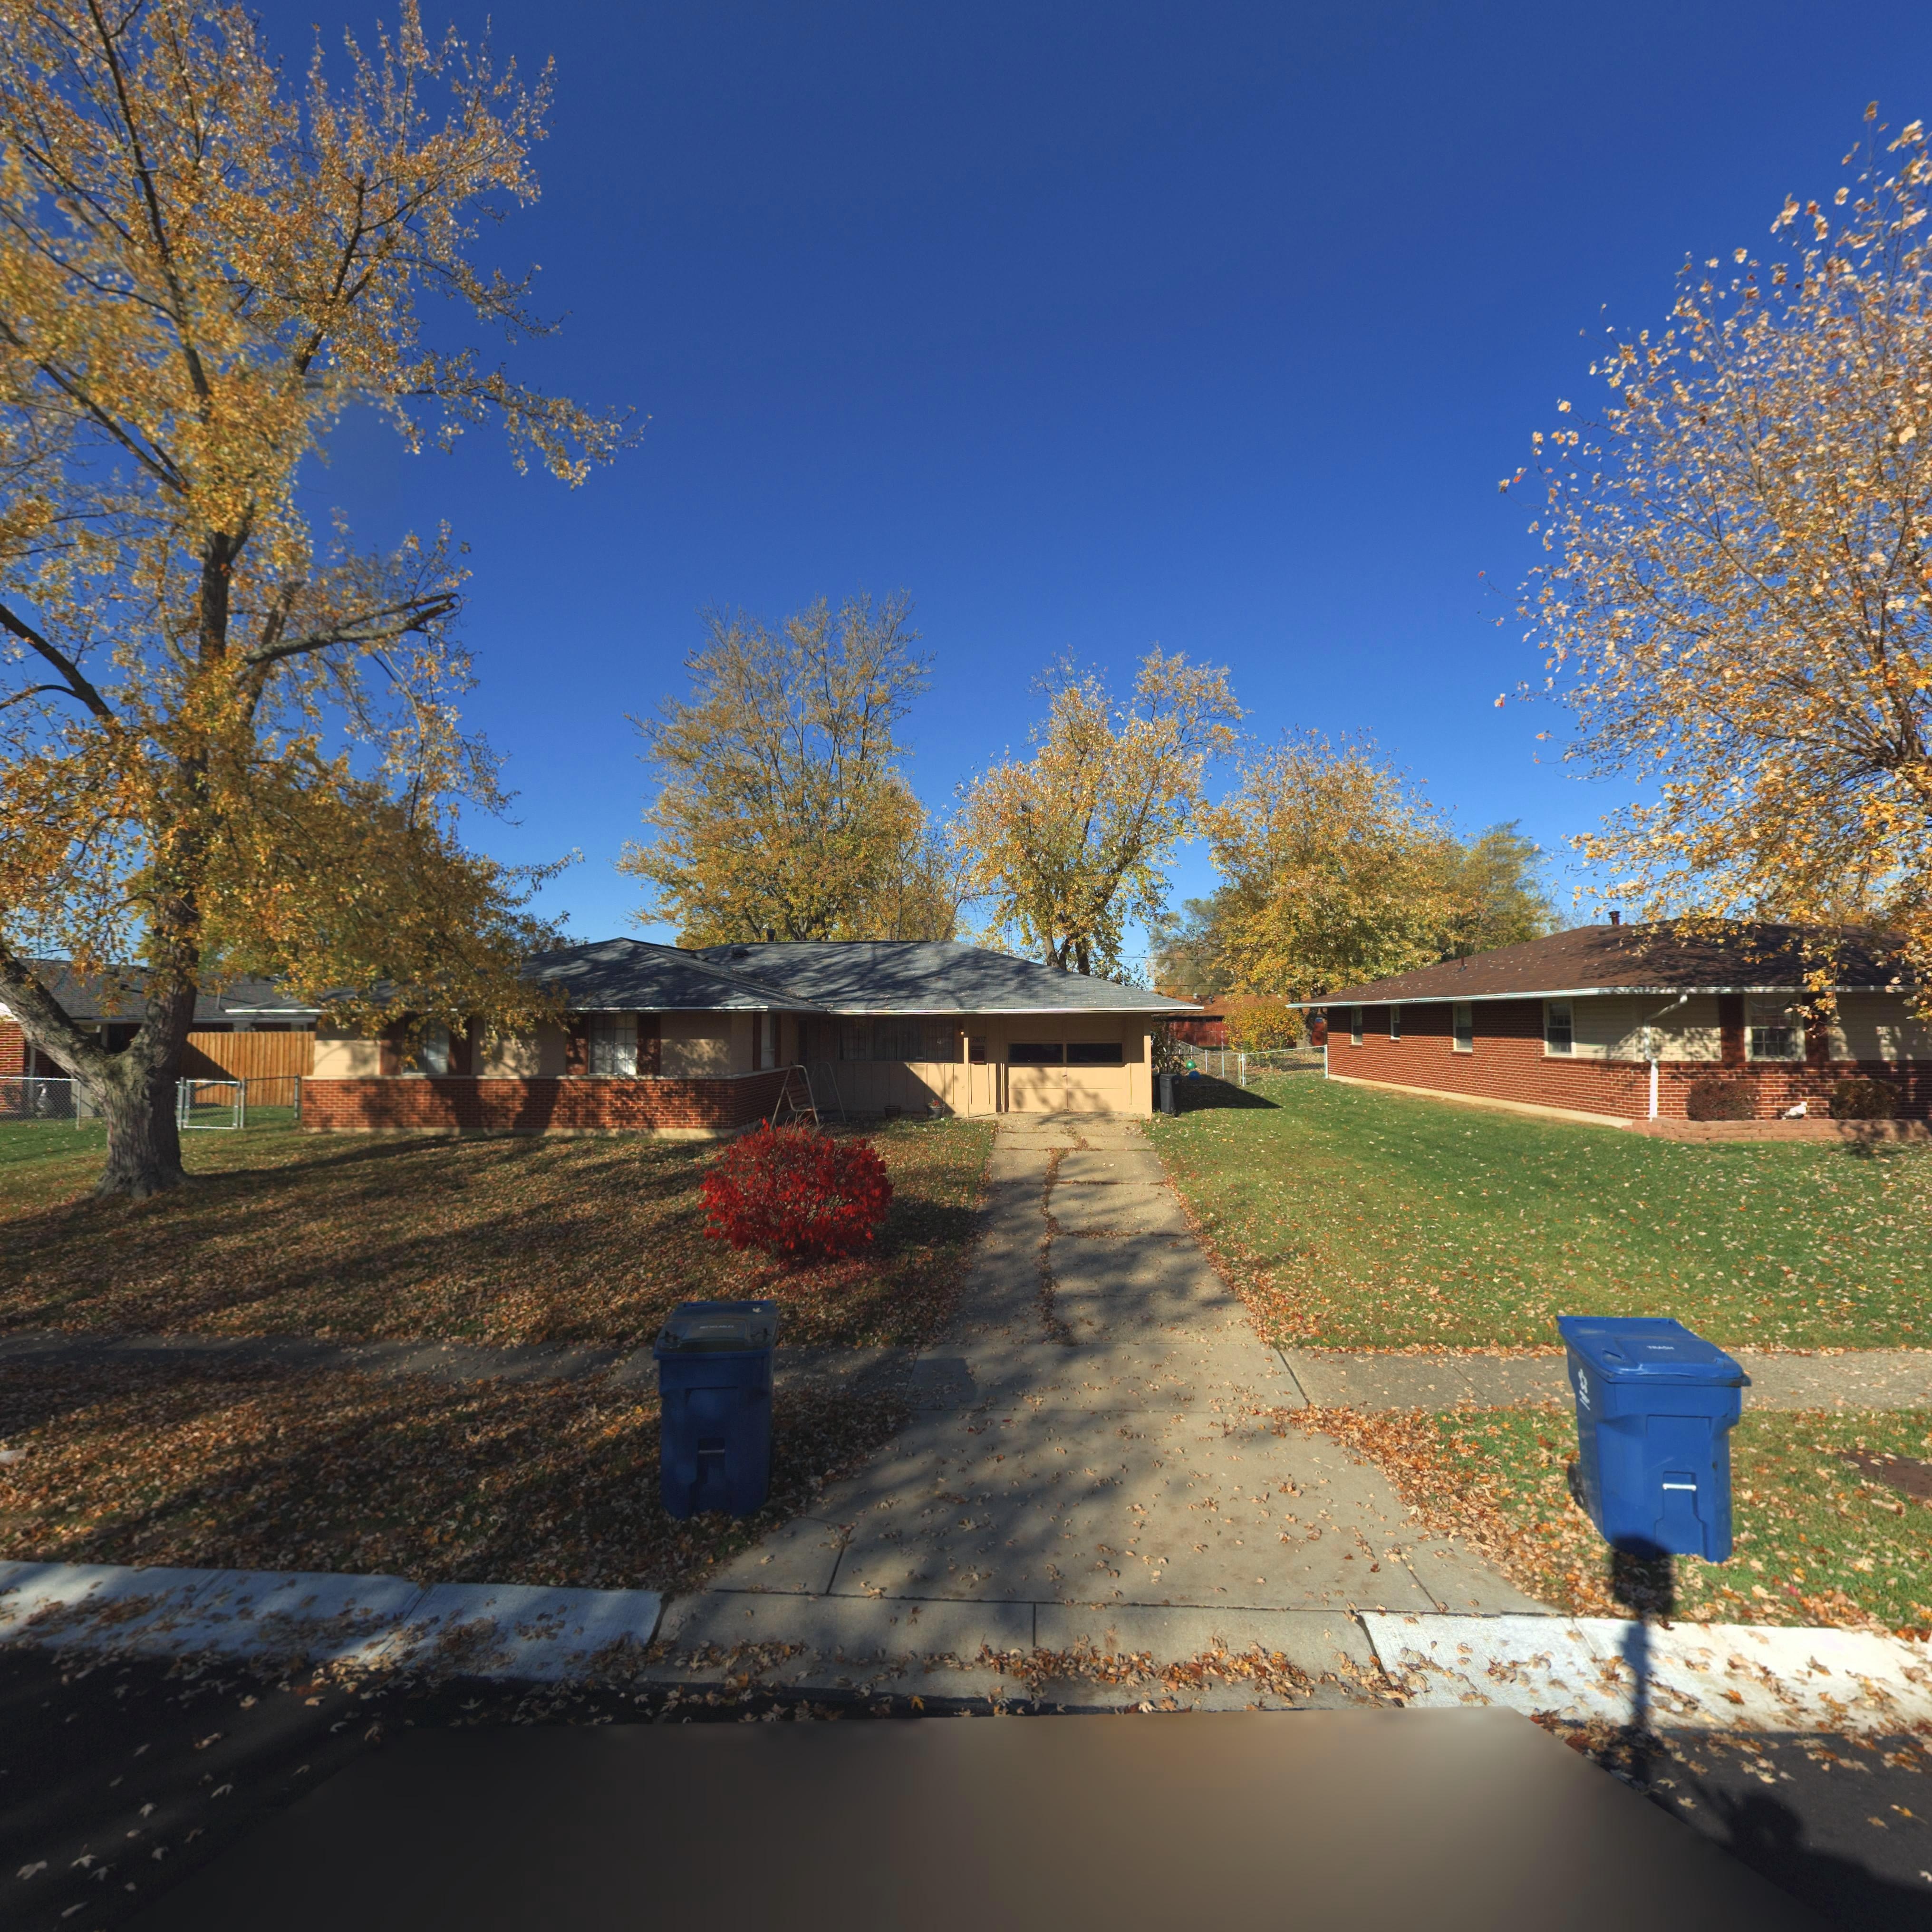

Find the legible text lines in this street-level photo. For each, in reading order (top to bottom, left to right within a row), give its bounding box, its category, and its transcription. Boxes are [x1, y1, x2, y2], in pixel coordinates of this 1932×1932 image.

[970, 1035, 987, 1043] StreetNumber: 7807